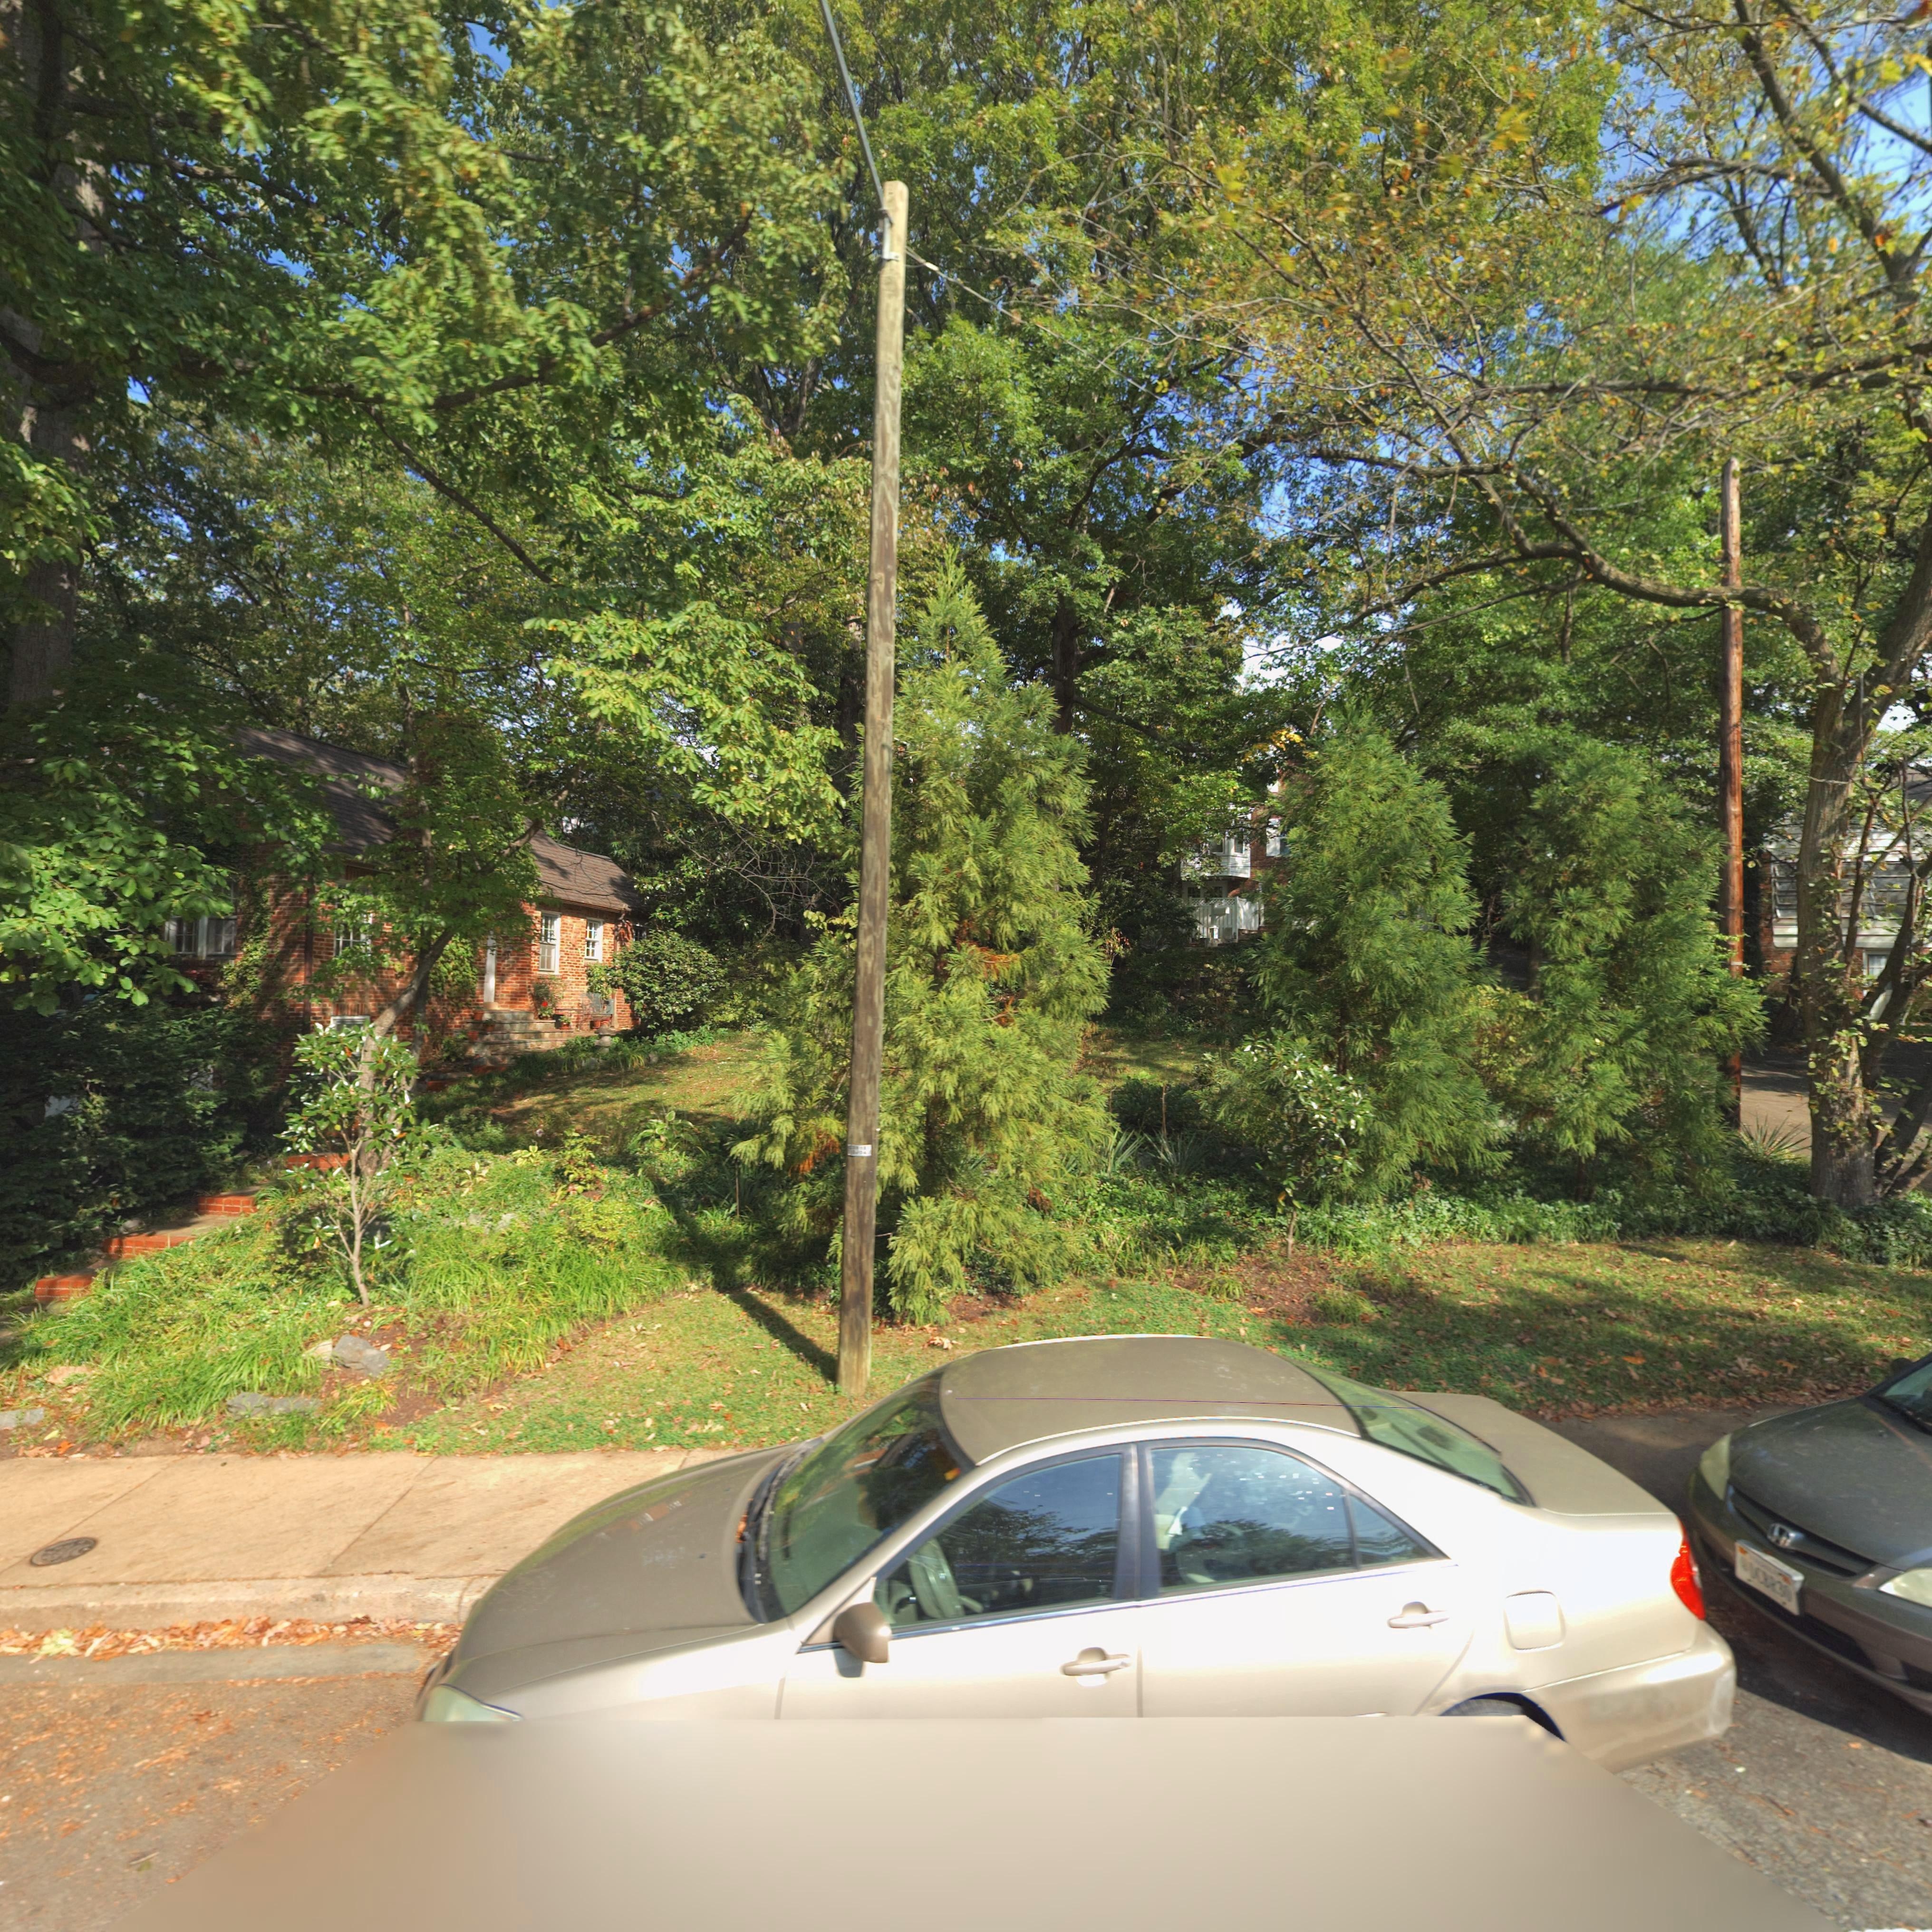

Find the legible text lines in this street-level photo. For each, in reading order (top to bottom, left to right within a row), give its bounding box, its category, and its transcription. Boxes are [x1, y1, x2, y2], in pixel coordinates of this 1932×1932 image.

[1755, 1565, 1793, 1604] None: CBR30